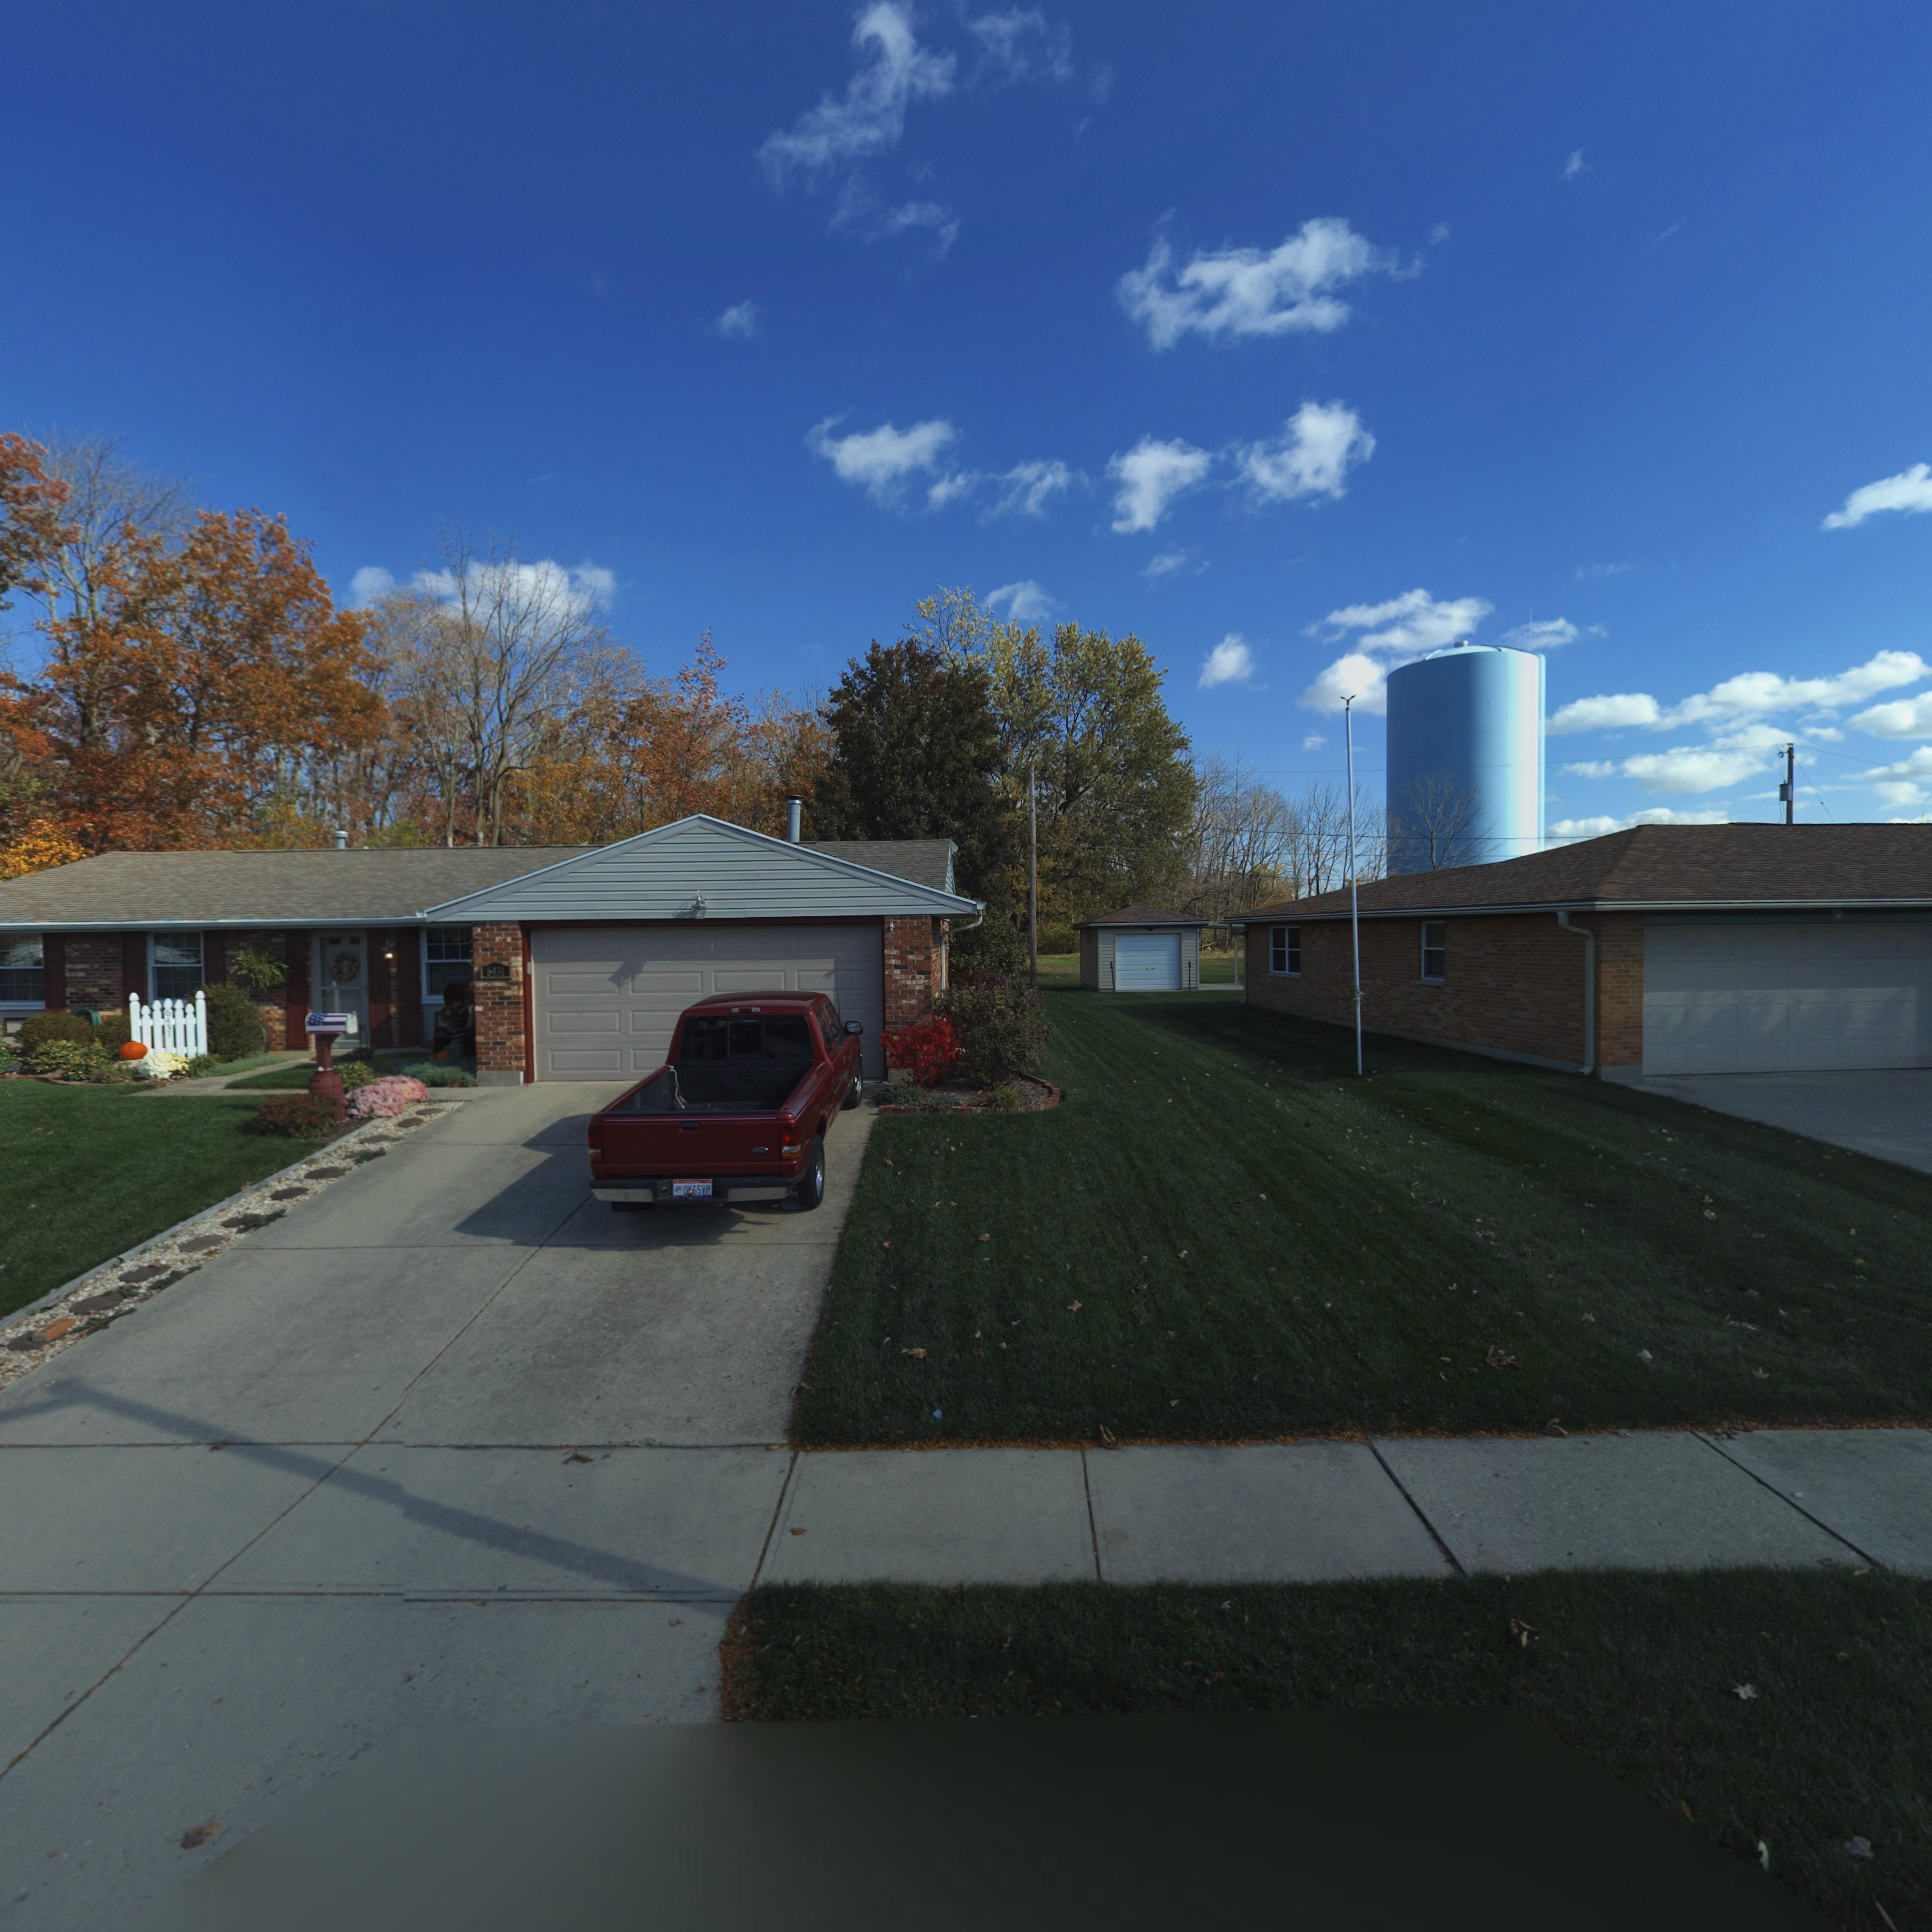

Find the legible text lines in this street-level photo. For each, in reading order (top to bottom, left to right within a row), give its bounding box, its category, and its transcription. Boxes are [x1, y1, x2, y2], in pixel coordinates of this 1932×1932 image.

[486, 966, 505, 977] StreetNumber: 6431
[165, 1008, 172, 1039] StreetNumber: 6431